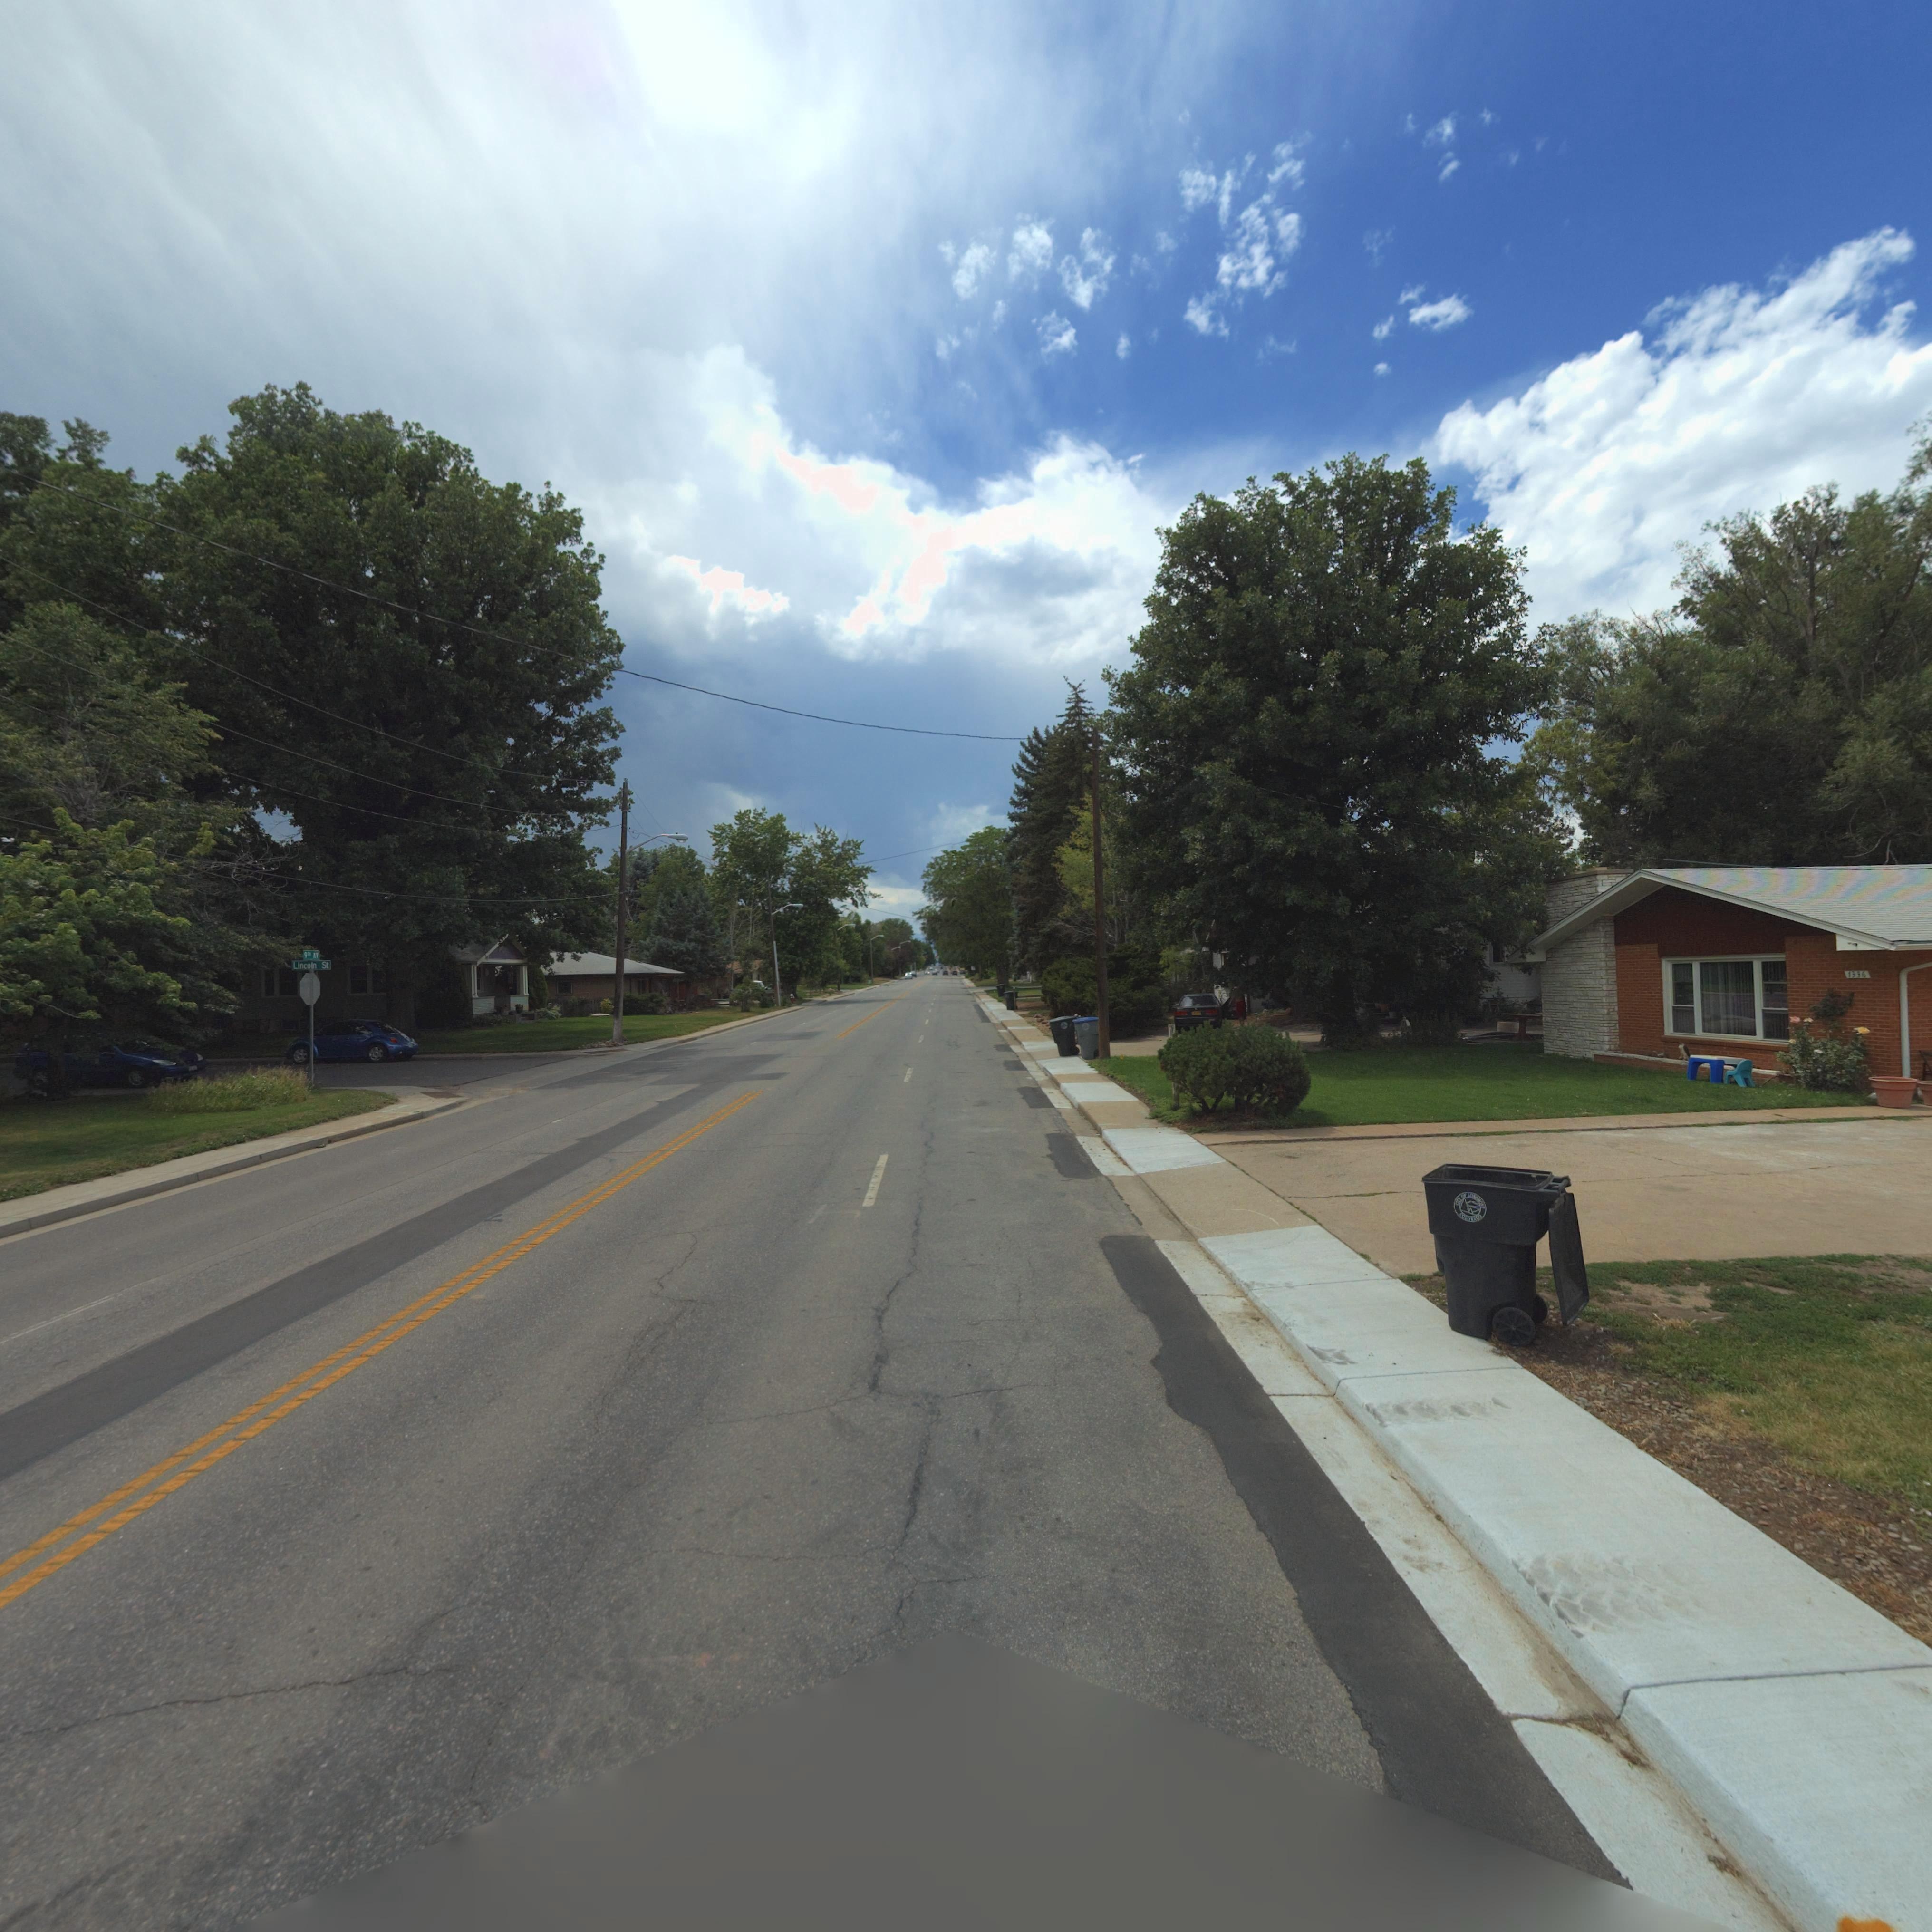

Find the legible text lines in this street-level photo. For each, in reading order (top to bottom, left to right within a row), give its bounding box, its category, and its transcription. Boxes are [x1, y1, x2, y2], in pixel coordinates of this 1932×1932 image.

[303, 951, 319, 959] StreetName: 9TH AV
[292, 961, 329, 969] StreetName: Lincoln St
[1847, 970, 1866, 978] StreetNumber: 1336